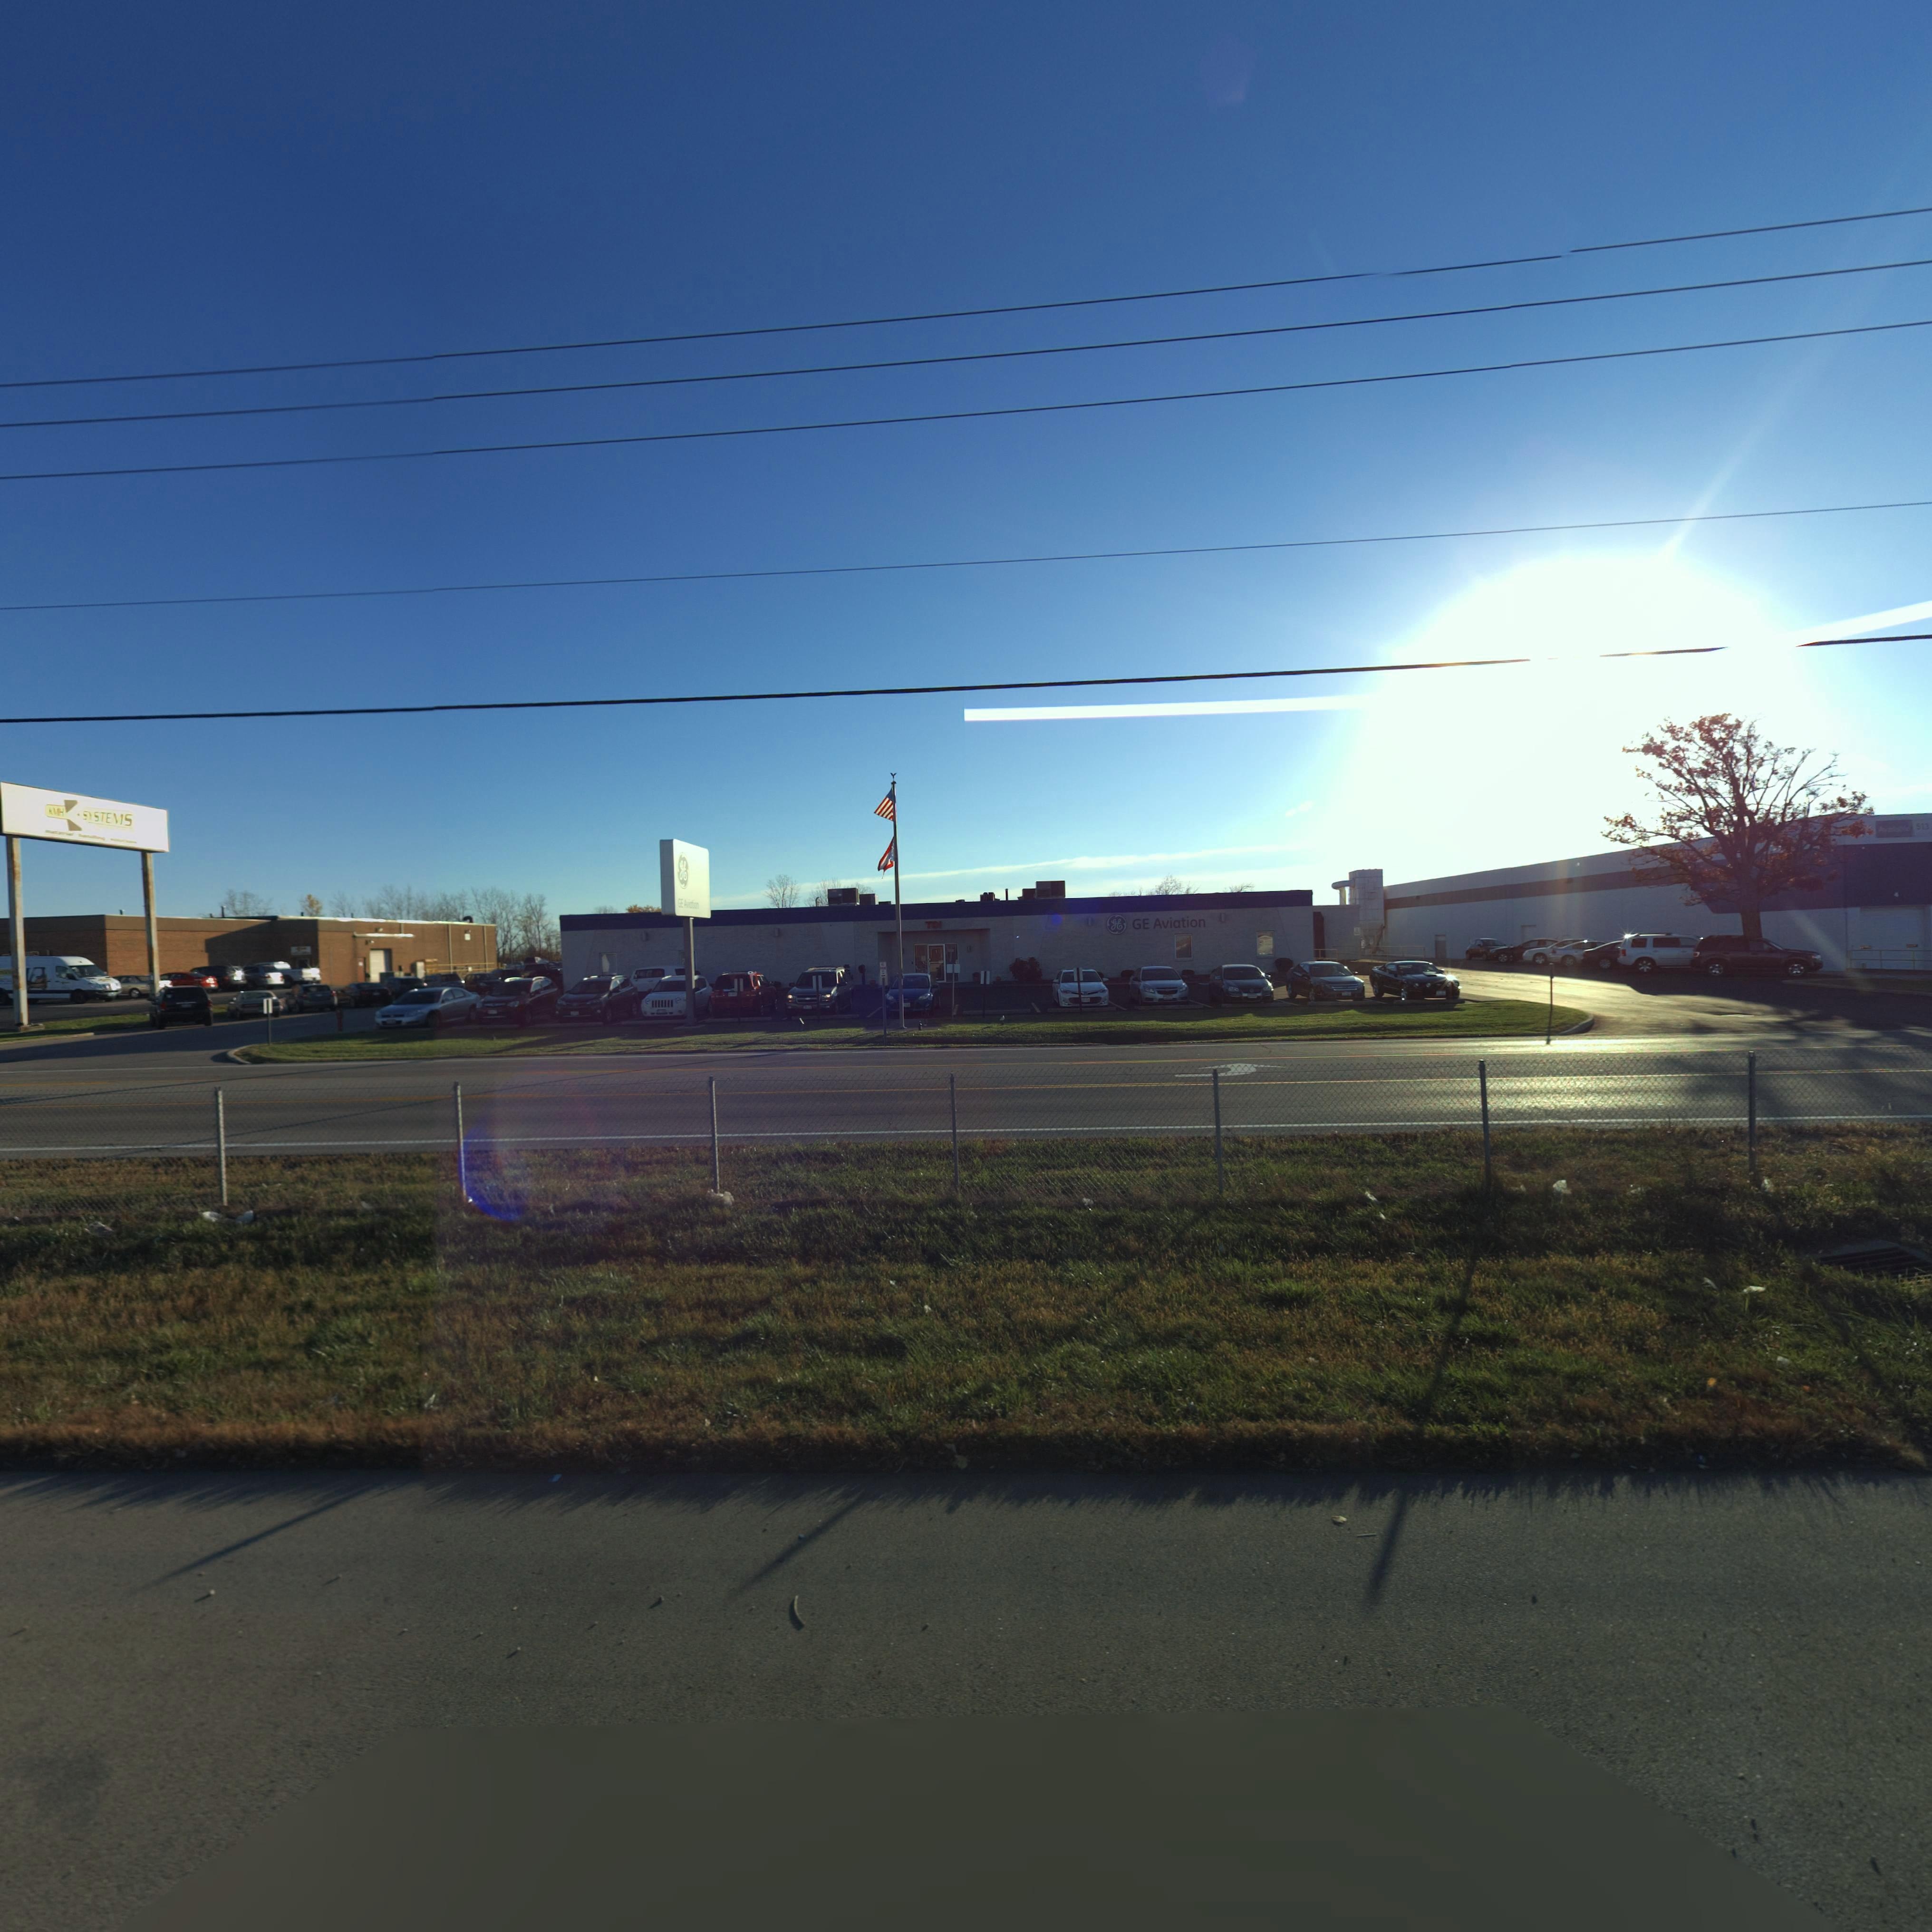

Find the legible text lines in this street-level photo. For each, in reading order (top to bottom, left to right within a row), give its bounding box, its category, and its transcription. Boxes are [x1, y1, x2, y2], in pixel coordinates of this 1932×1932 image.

[41, 797, 138, 835] BusinessName: AMH SYSTEMS
[679, 860, 688, 881] BusinessName: gE
[676, 896, 702, 913] BusinessName: GE Aviation
[925, 919, 943, 930] StreetNumber: 701
[1110, 918, 1123, 931] BusinessName: gE
[1132, 918, 1207, 930] BusinessName: GE Aviation